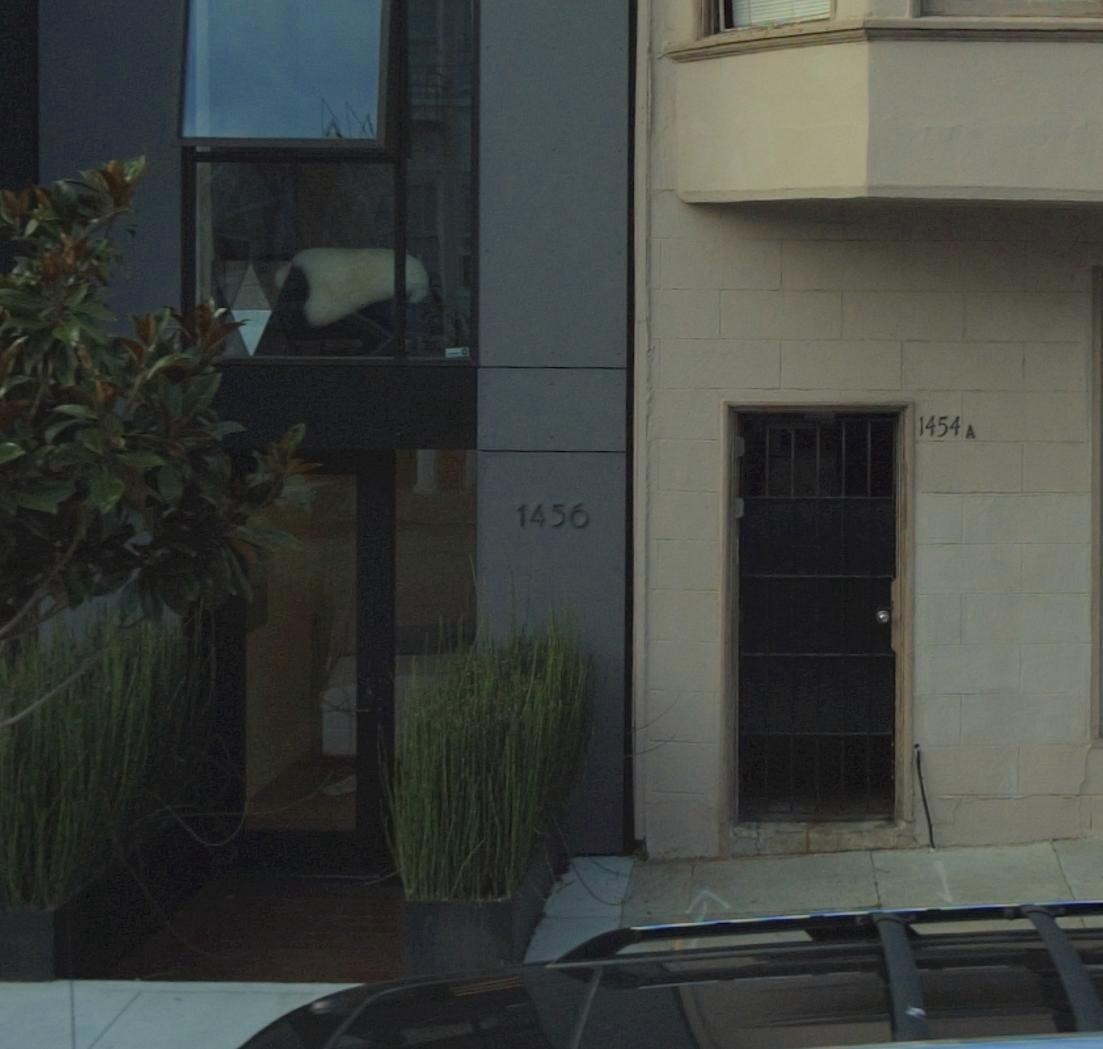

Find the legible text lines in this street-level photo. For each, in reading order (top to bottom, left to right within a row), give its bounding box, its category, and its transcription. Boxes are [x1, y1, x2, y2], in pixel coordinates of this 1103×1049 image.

[916, 413, 979, 441] StreetNumber: 1454 A
[515, 500, 592, 531] StreetNumber: 1456